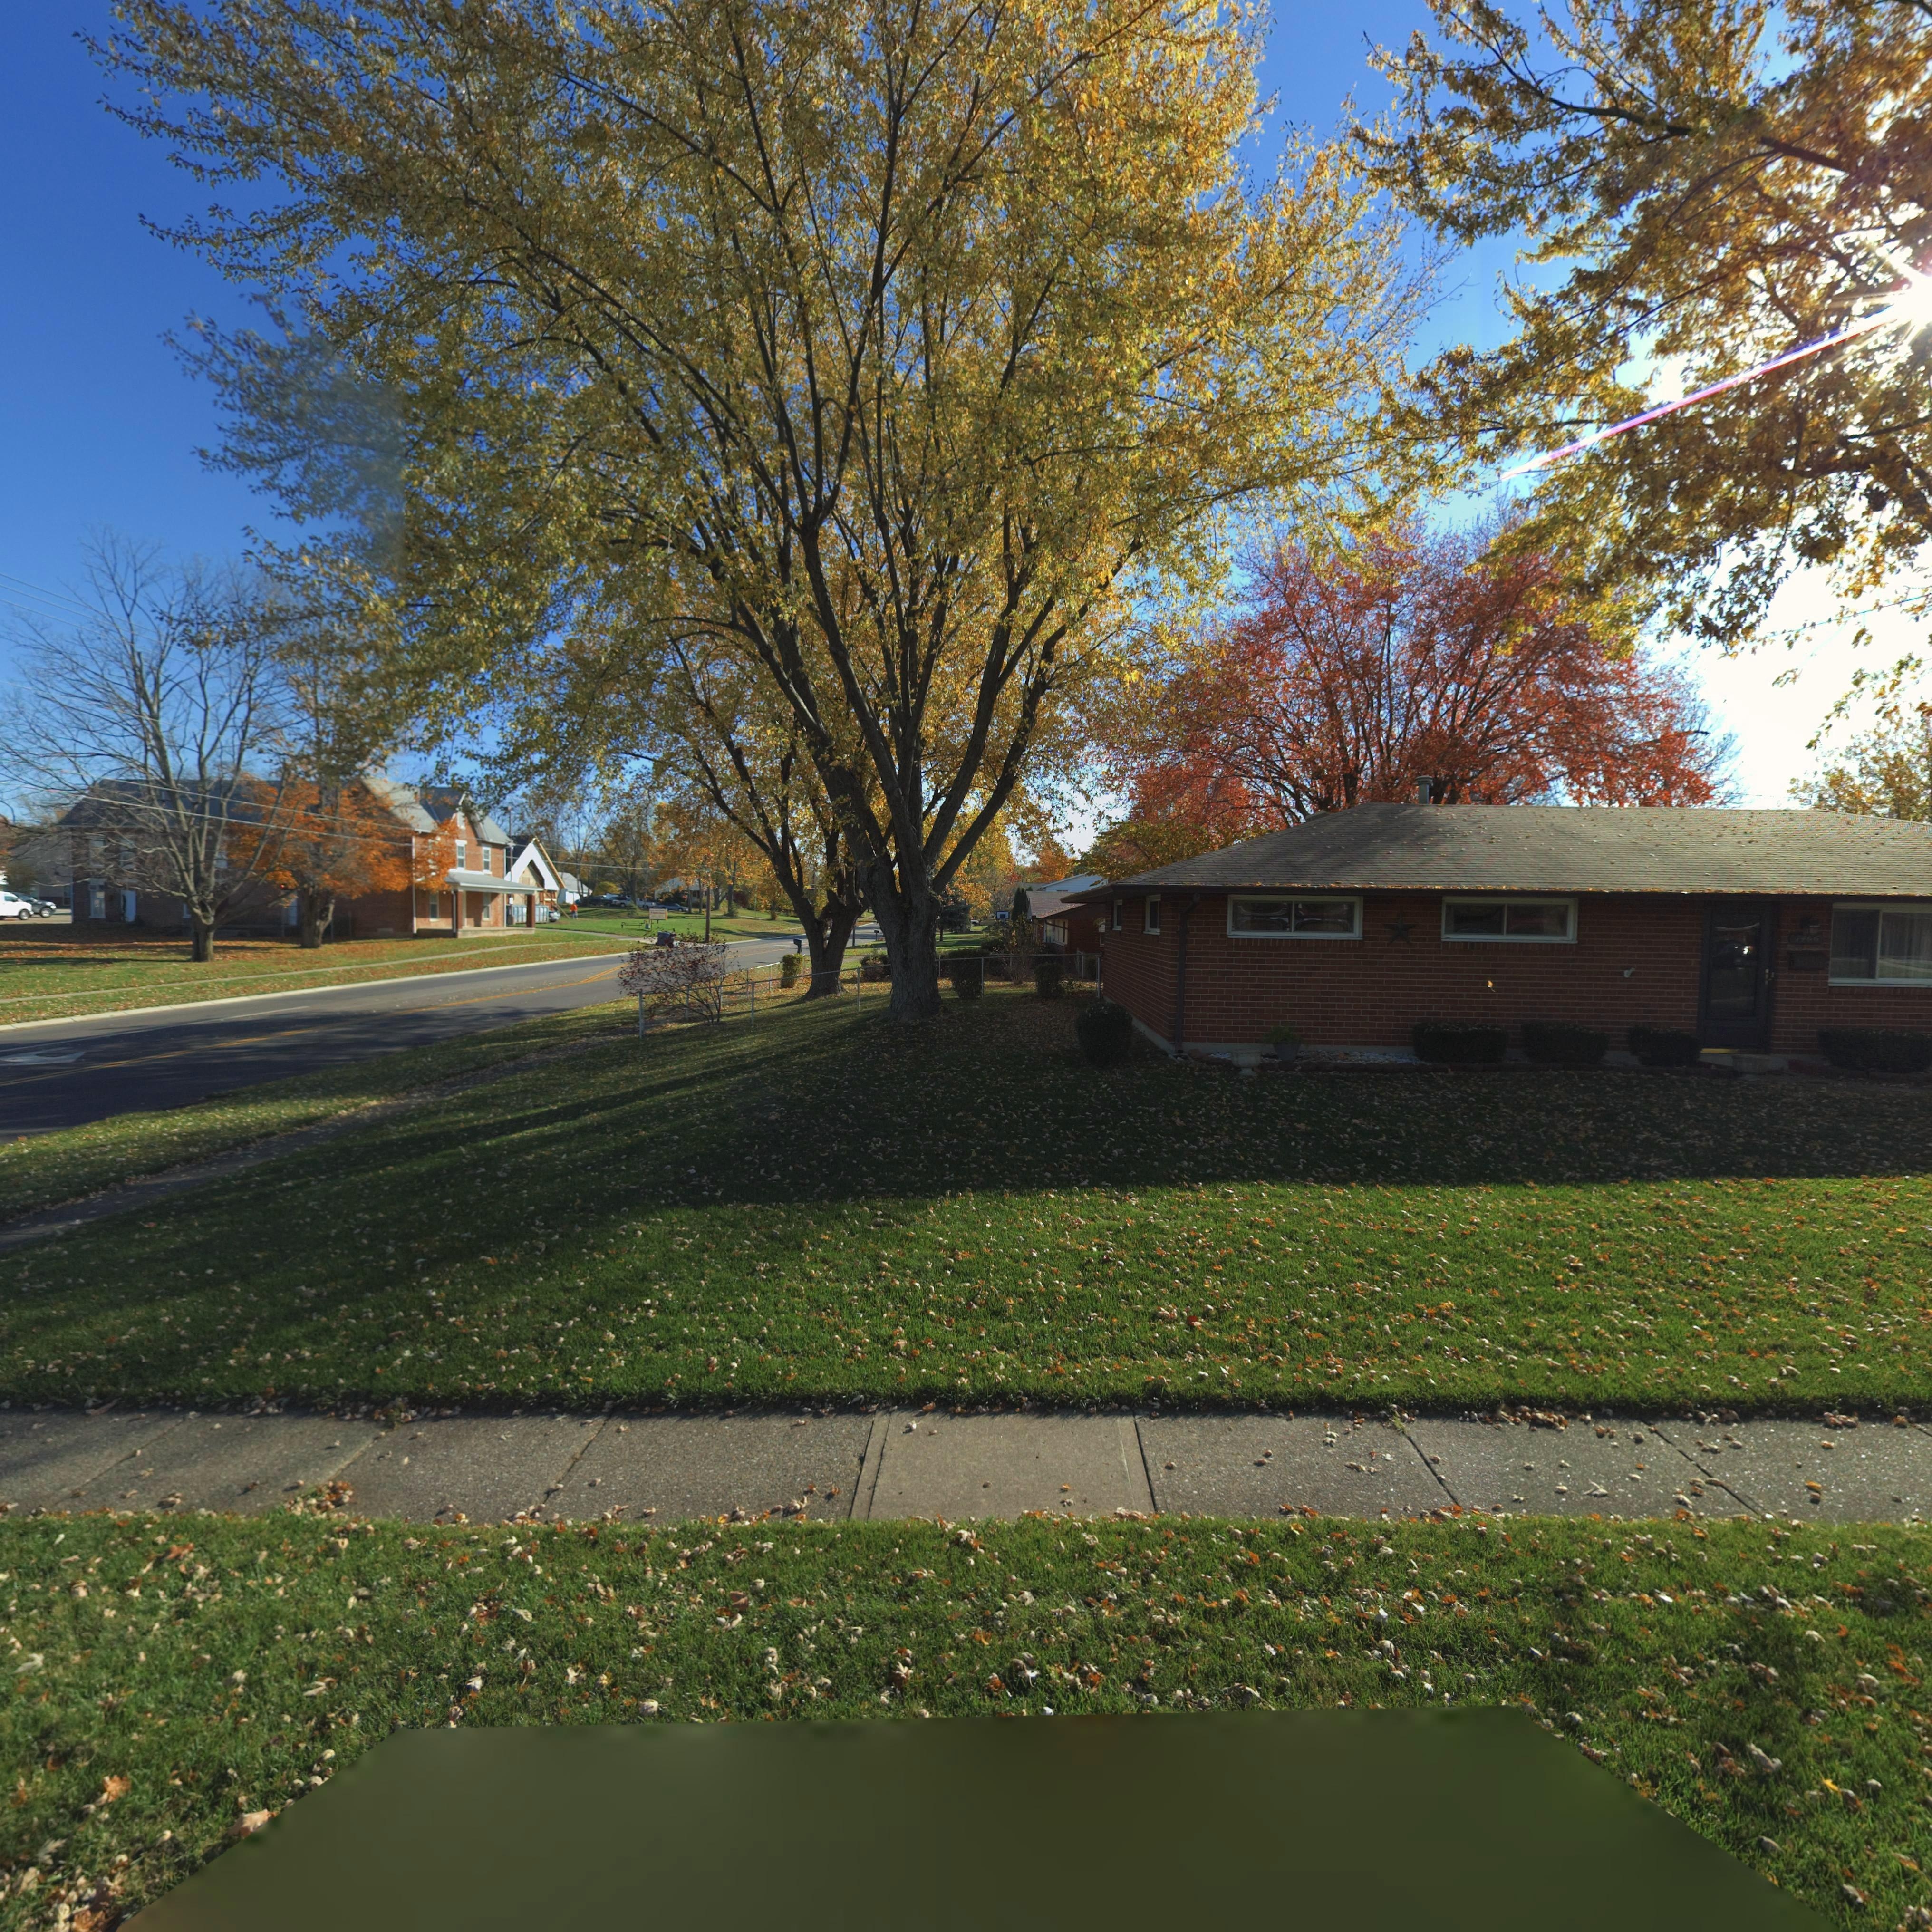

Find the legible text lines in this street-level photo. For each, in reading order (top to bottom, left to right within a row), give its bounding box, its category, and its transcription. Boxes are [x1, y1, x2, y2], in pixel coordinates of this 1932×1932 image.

[1795, 934, 1820, 944] StreetNumber: ***6